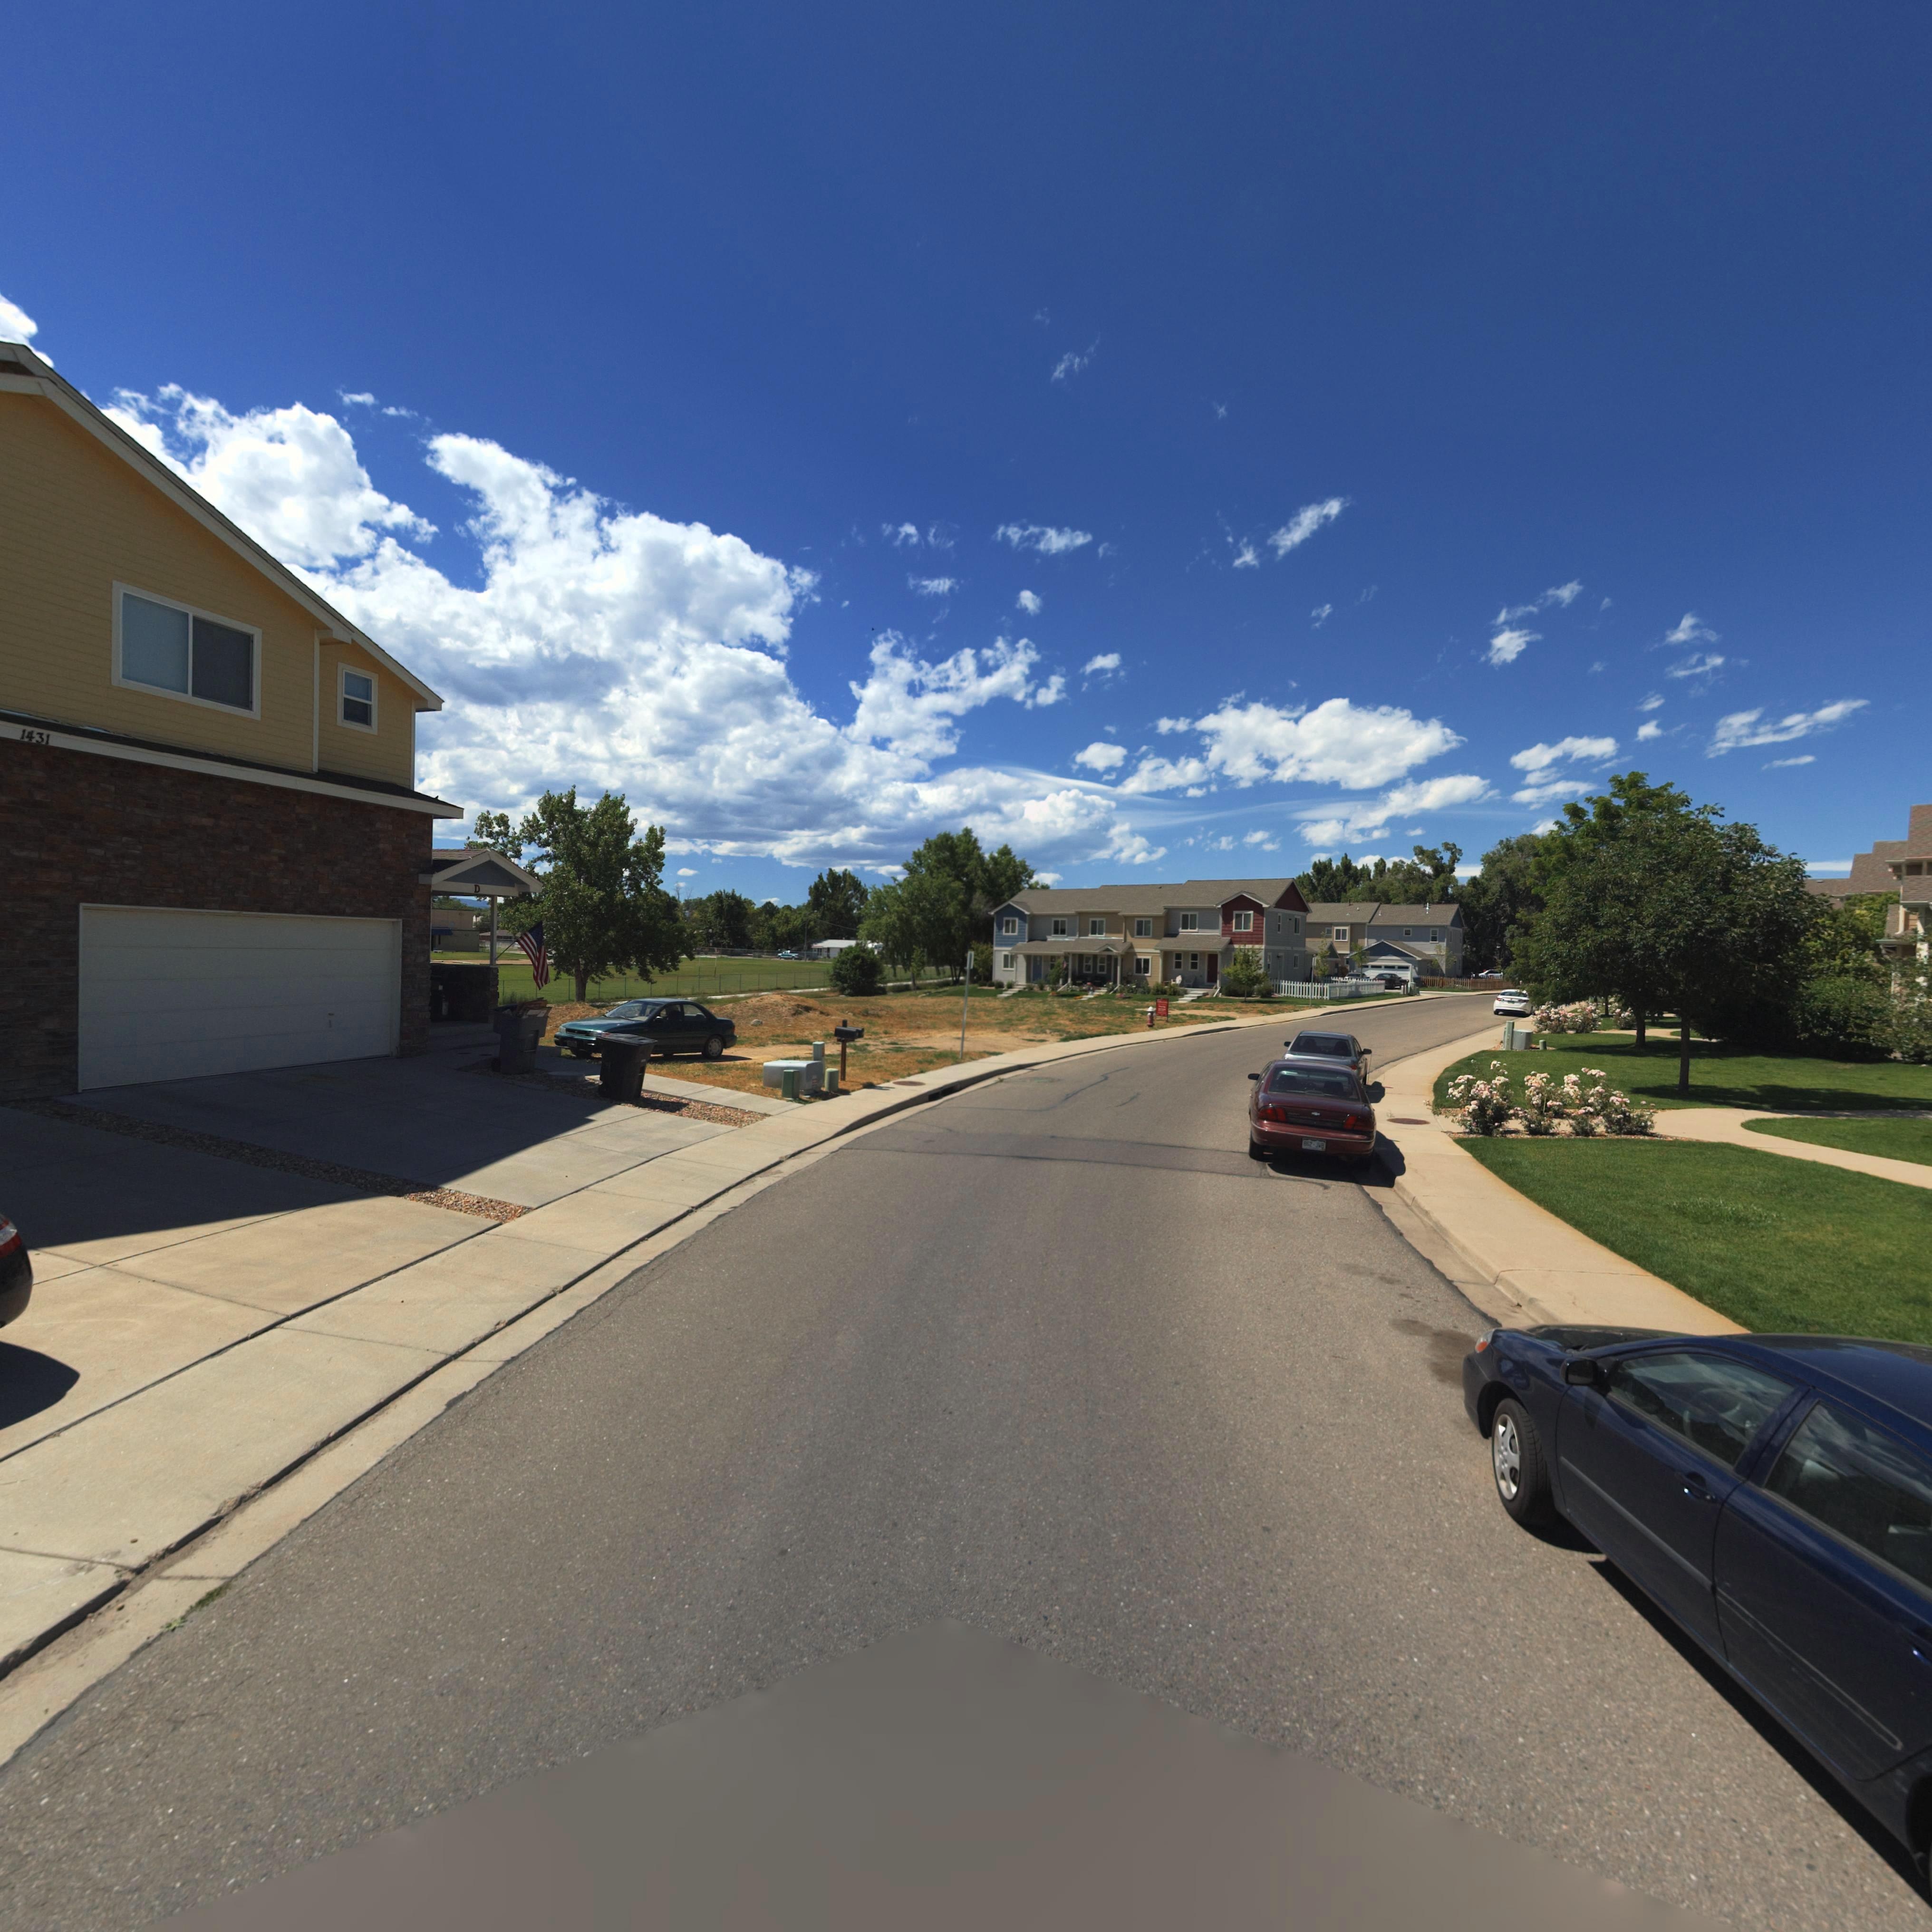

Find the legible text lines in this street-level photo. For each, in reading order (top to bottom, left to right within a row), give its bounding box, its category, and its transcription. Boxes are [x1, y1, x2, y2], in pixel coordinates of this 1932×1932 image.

[19, 728, 50, 745] StreetNumber: 1431
[473, 884, 481, 893] SecondaryUnitDesignator: D